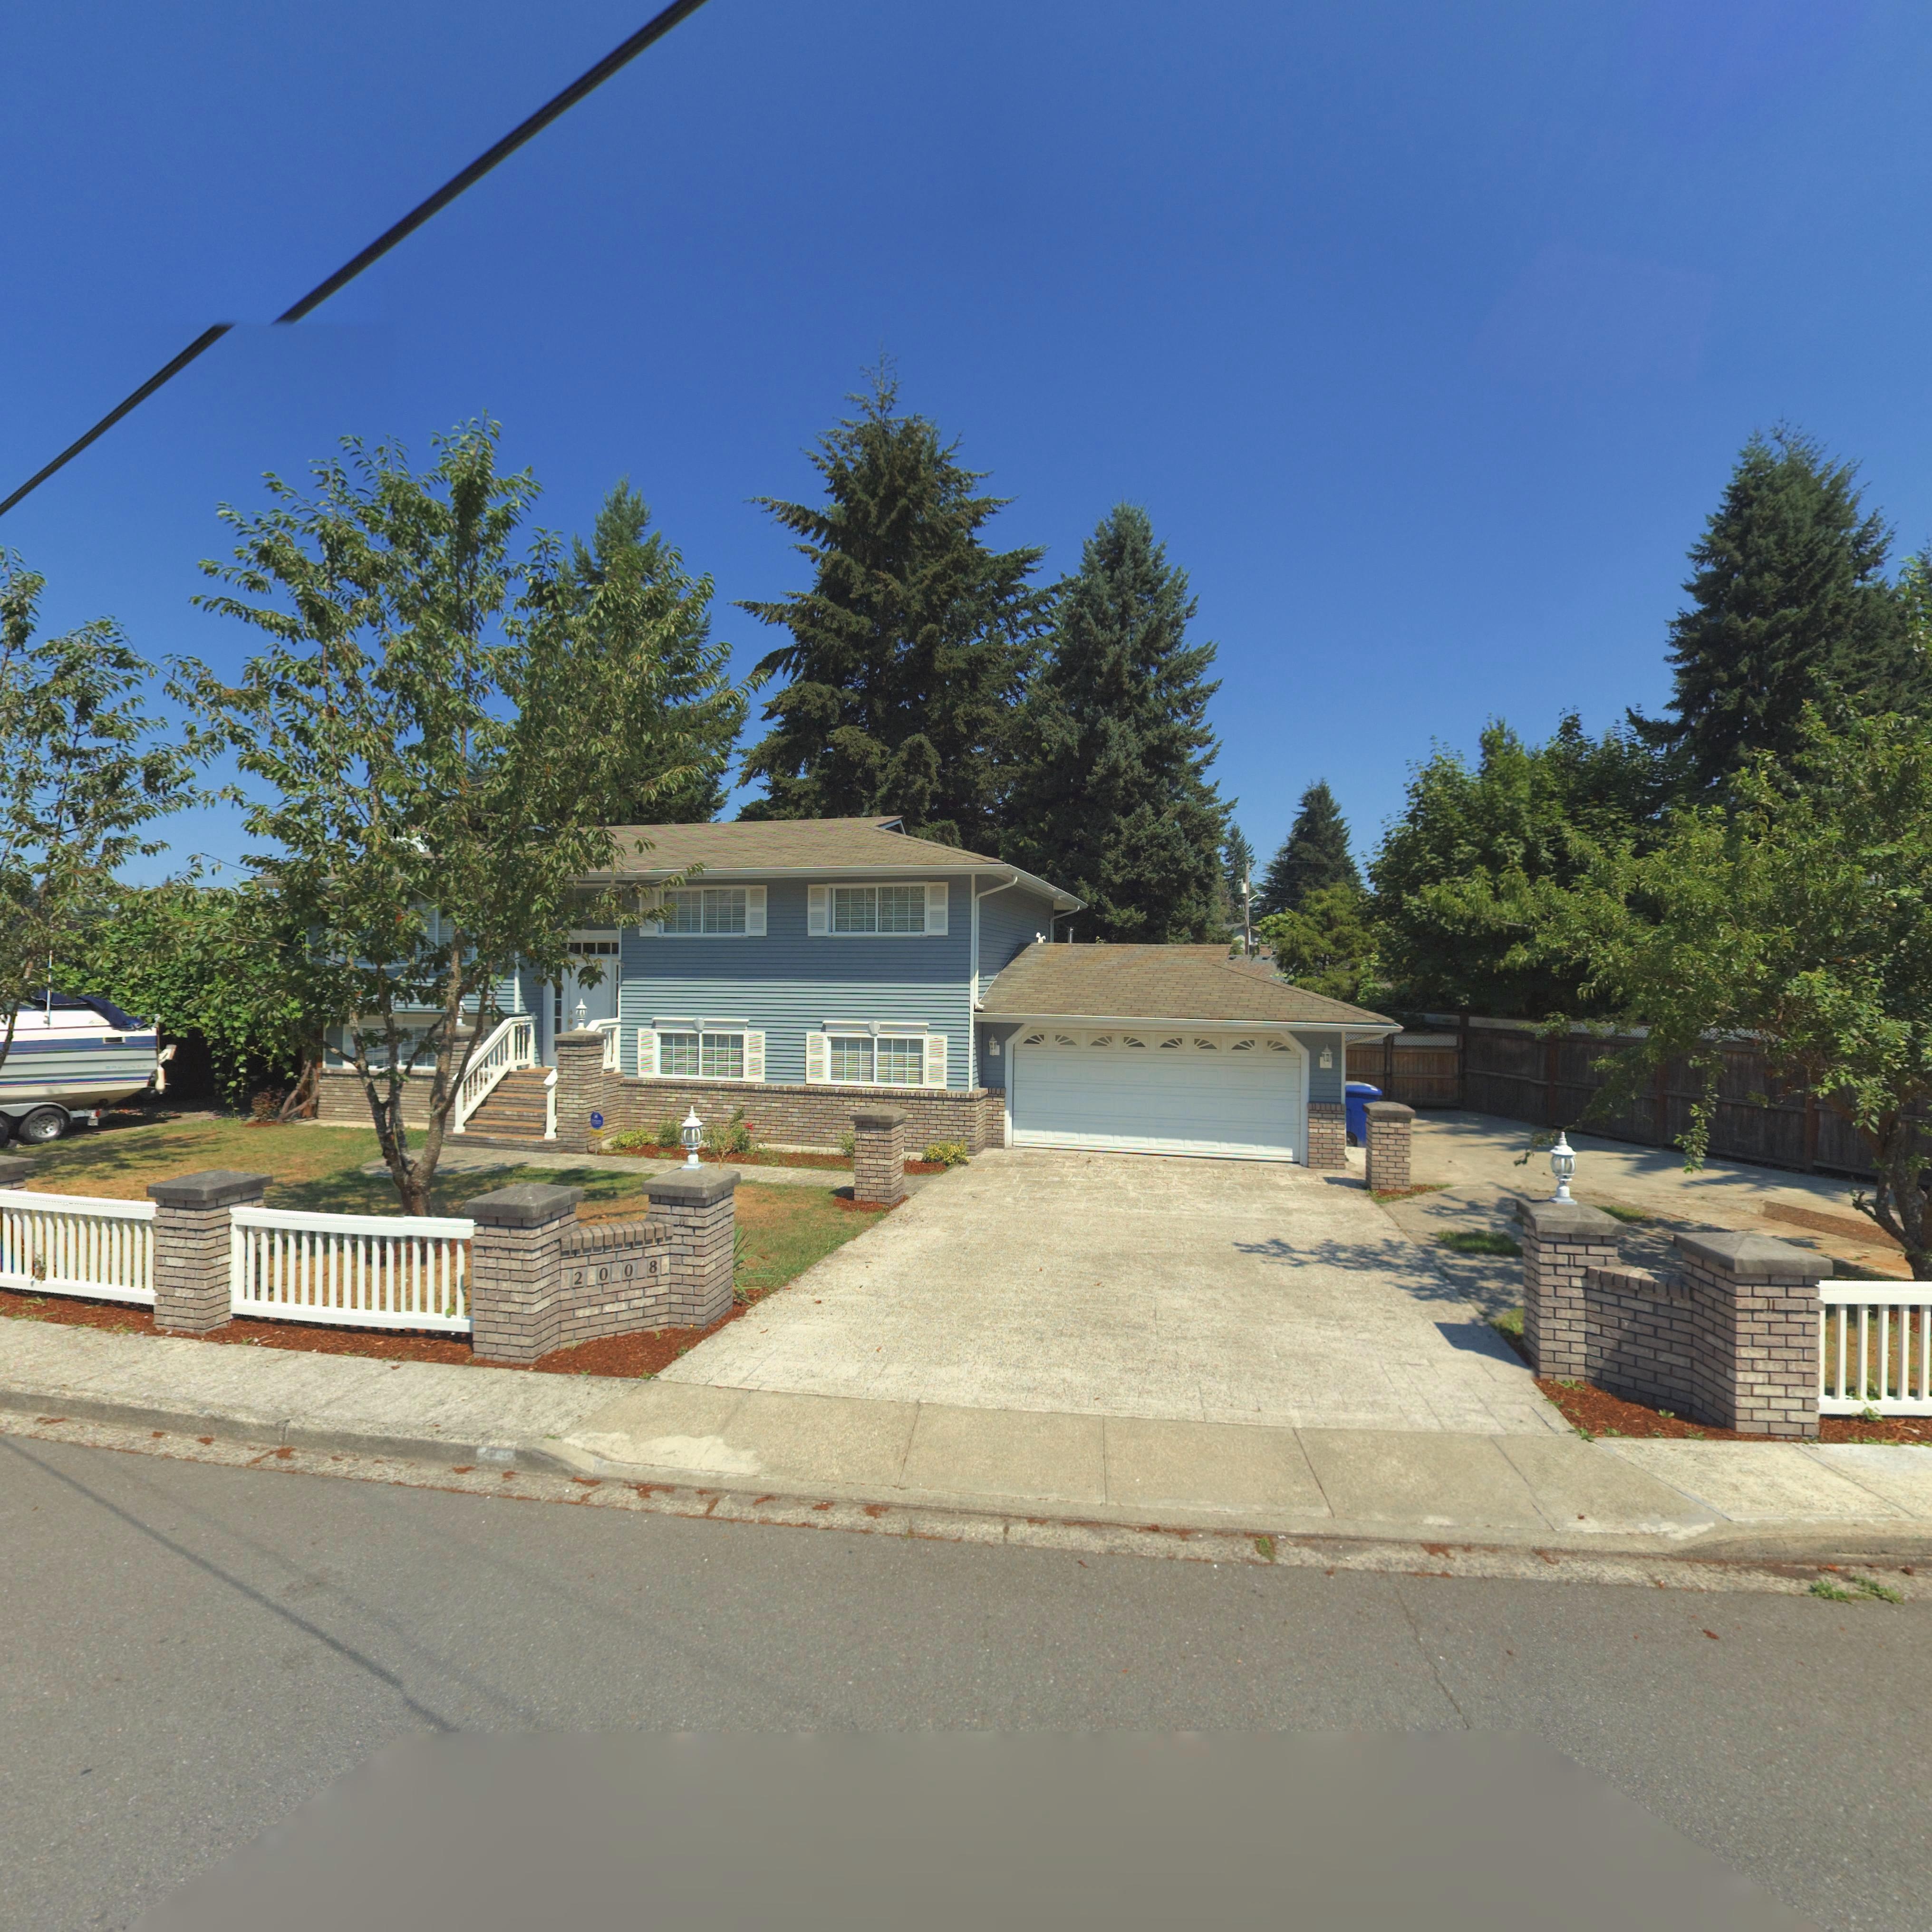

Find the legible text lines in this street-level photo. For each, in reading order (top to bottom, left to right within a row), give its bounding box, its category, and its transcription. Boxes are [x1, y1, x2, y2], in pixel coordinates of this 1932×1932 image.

[574, 1260, 657, 1285] StreetNumber: 2008